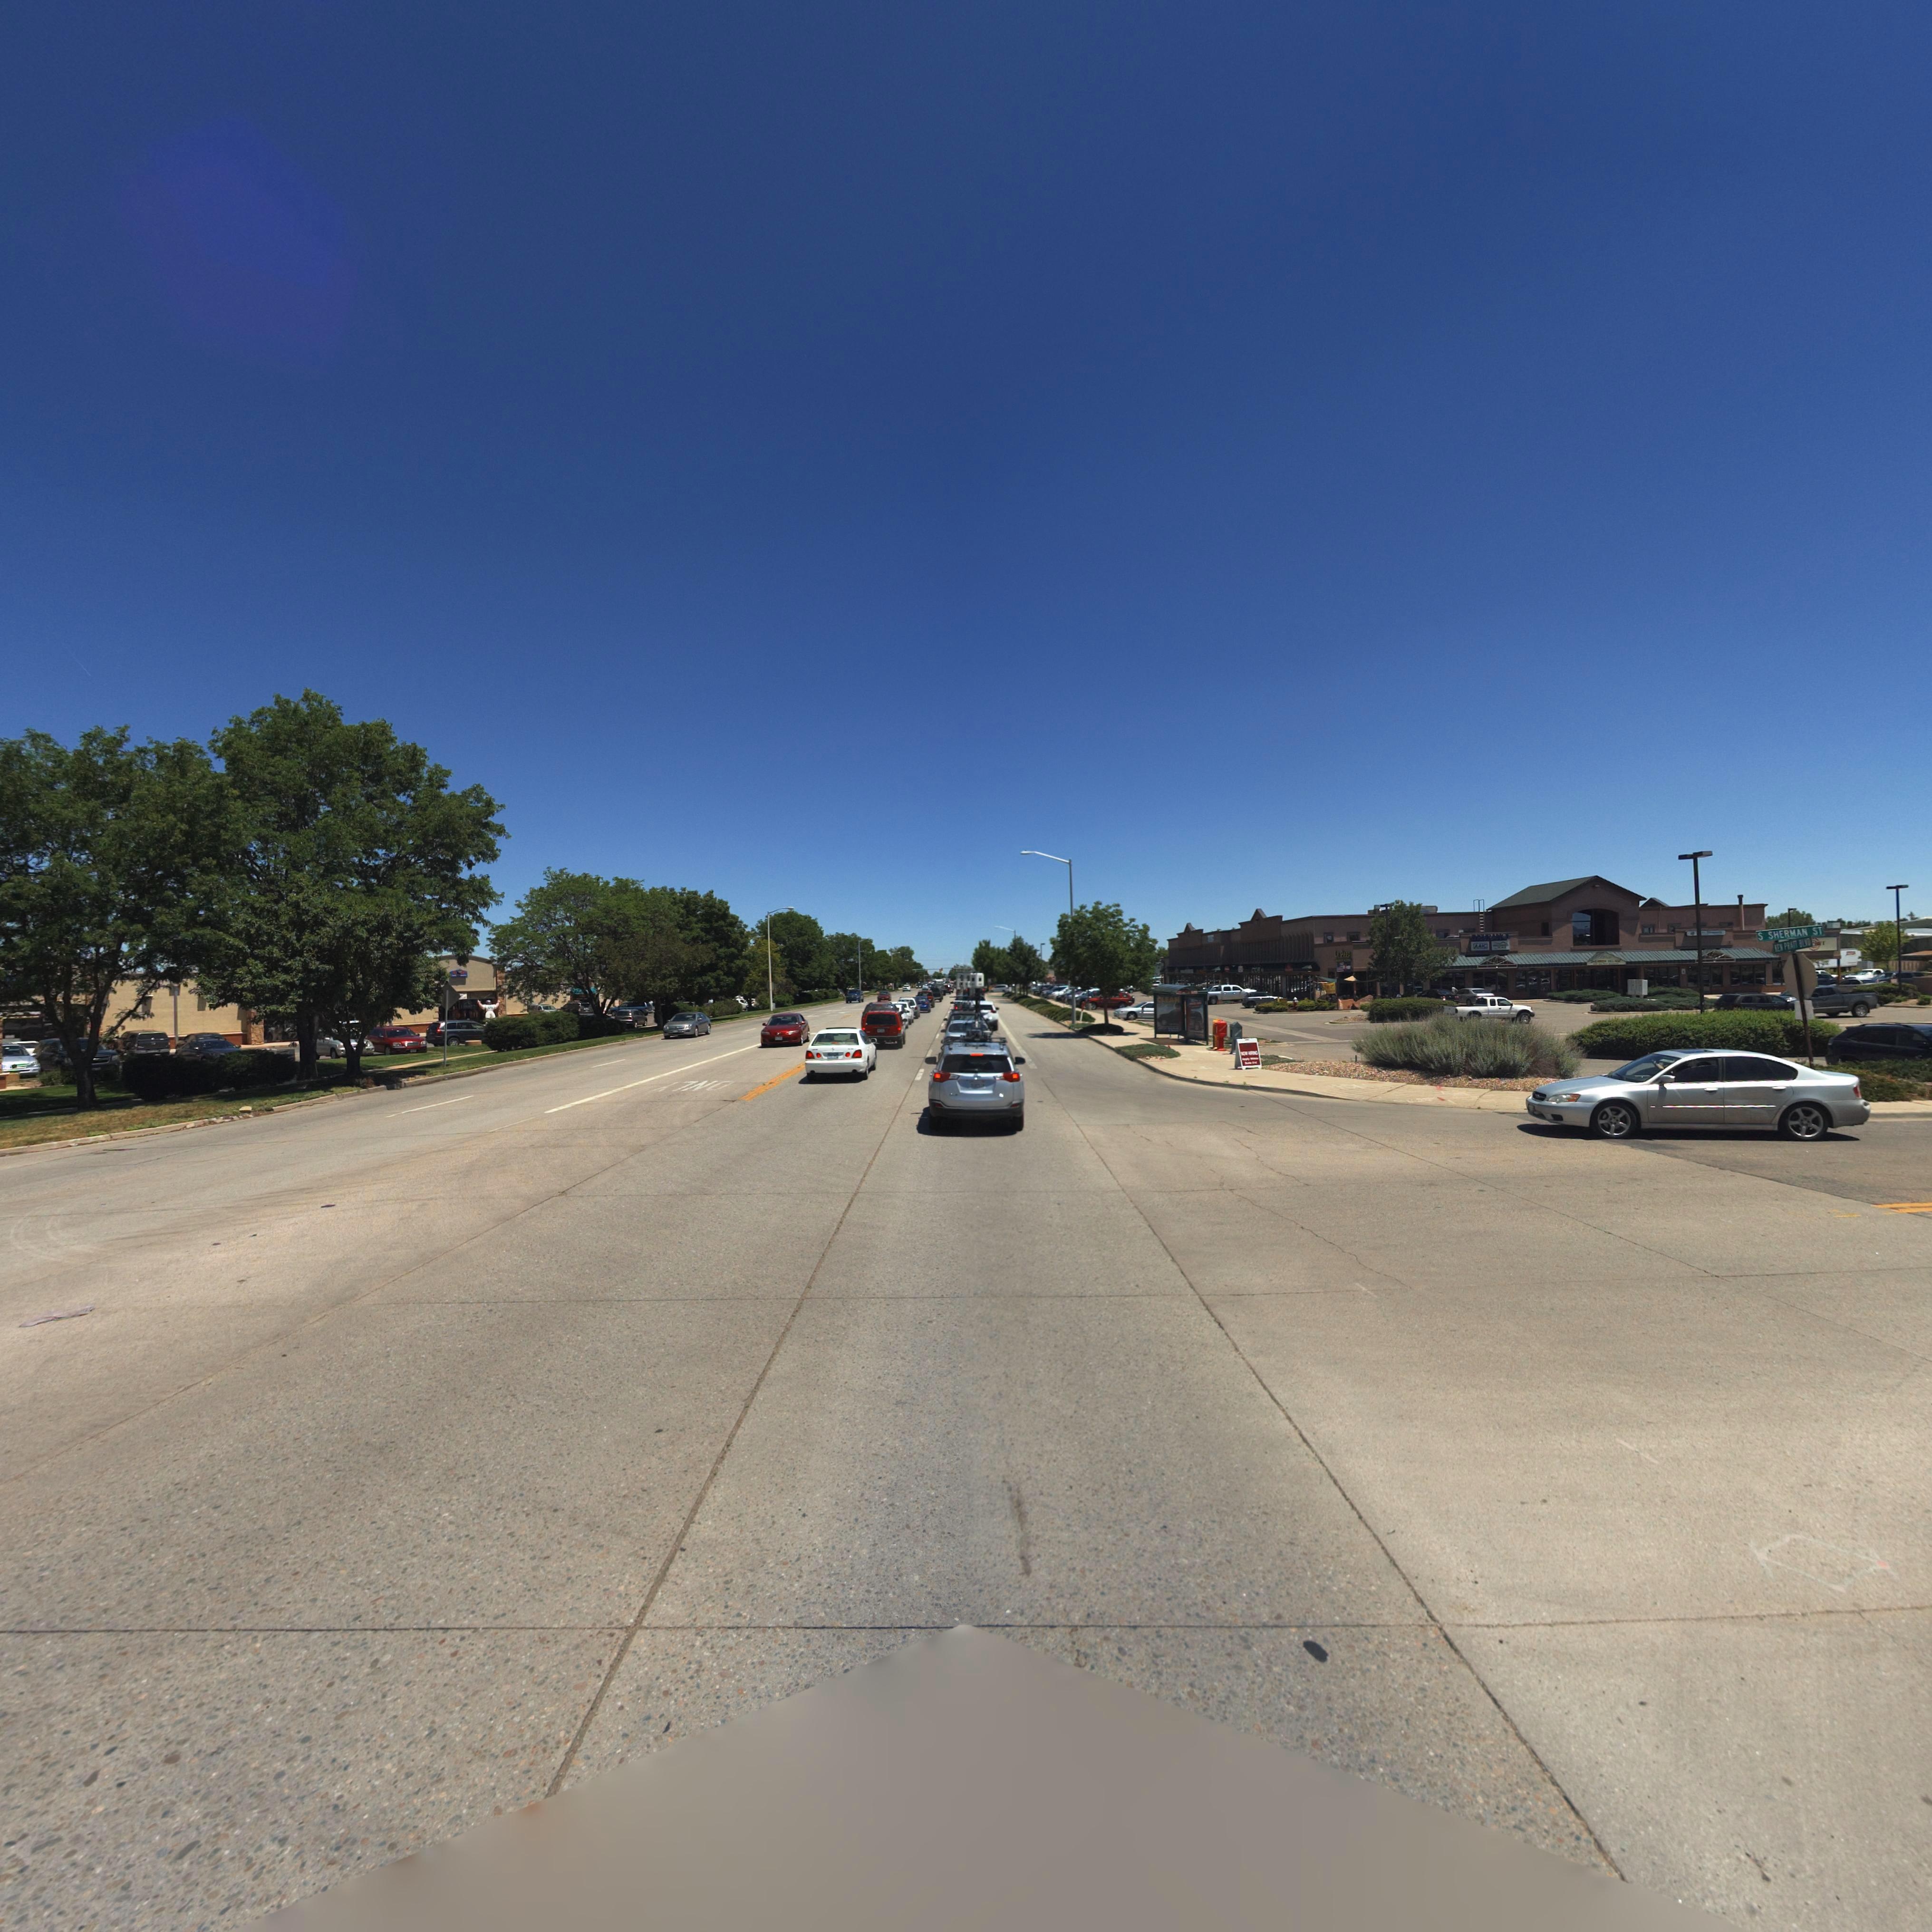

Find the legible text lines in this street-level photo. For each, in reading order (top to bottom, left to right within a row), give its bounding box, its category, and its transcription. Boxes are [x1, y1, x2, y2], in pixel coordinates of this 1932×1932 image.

[1757, 926, 1822, 940] StreetName: S SHERMAN ST
[1774, 937, 1810, 952] StreetName: *EN PRATT BLVD
[1334, 950, 1351, 958] BusinessName: Le Peep
[1251, 966, 1261, 973] BusinessName: C**S